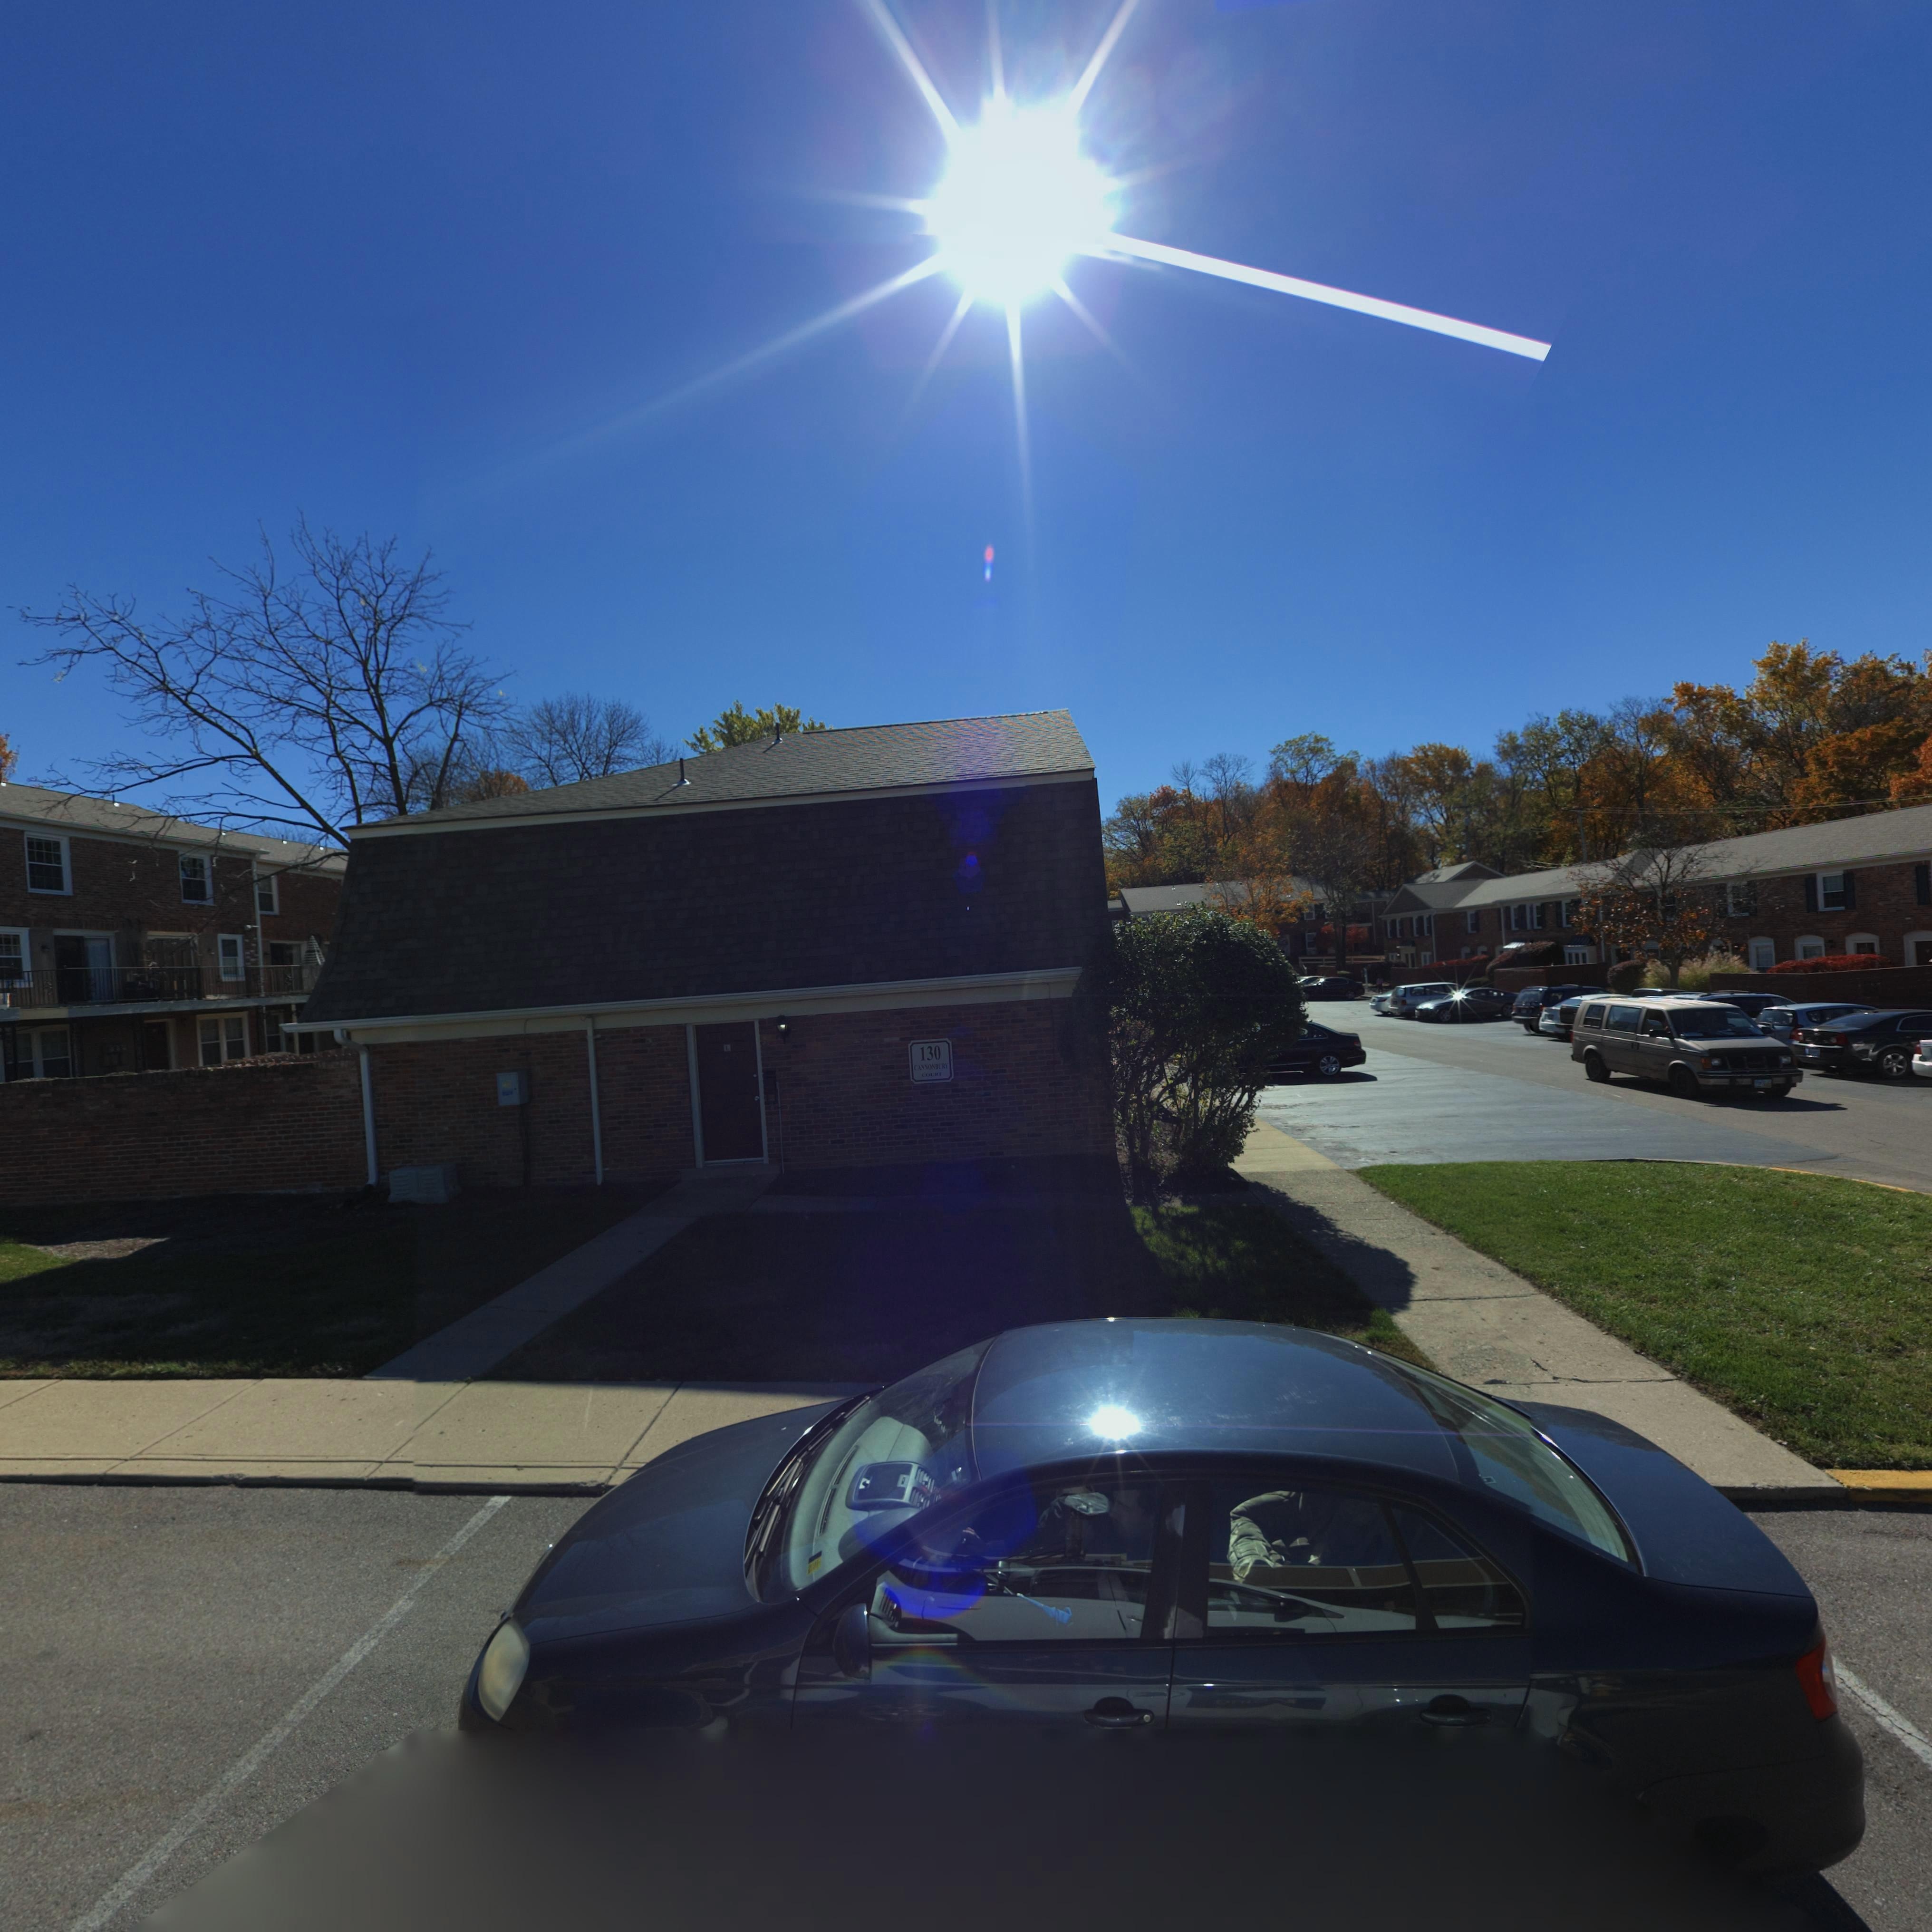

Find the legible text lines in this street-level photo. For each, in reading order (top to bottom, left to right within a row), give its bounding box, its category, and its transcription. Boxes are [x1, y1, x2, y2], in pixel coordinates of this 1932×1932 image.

[919, 1045, 942, 1061] StreetNumber: 130